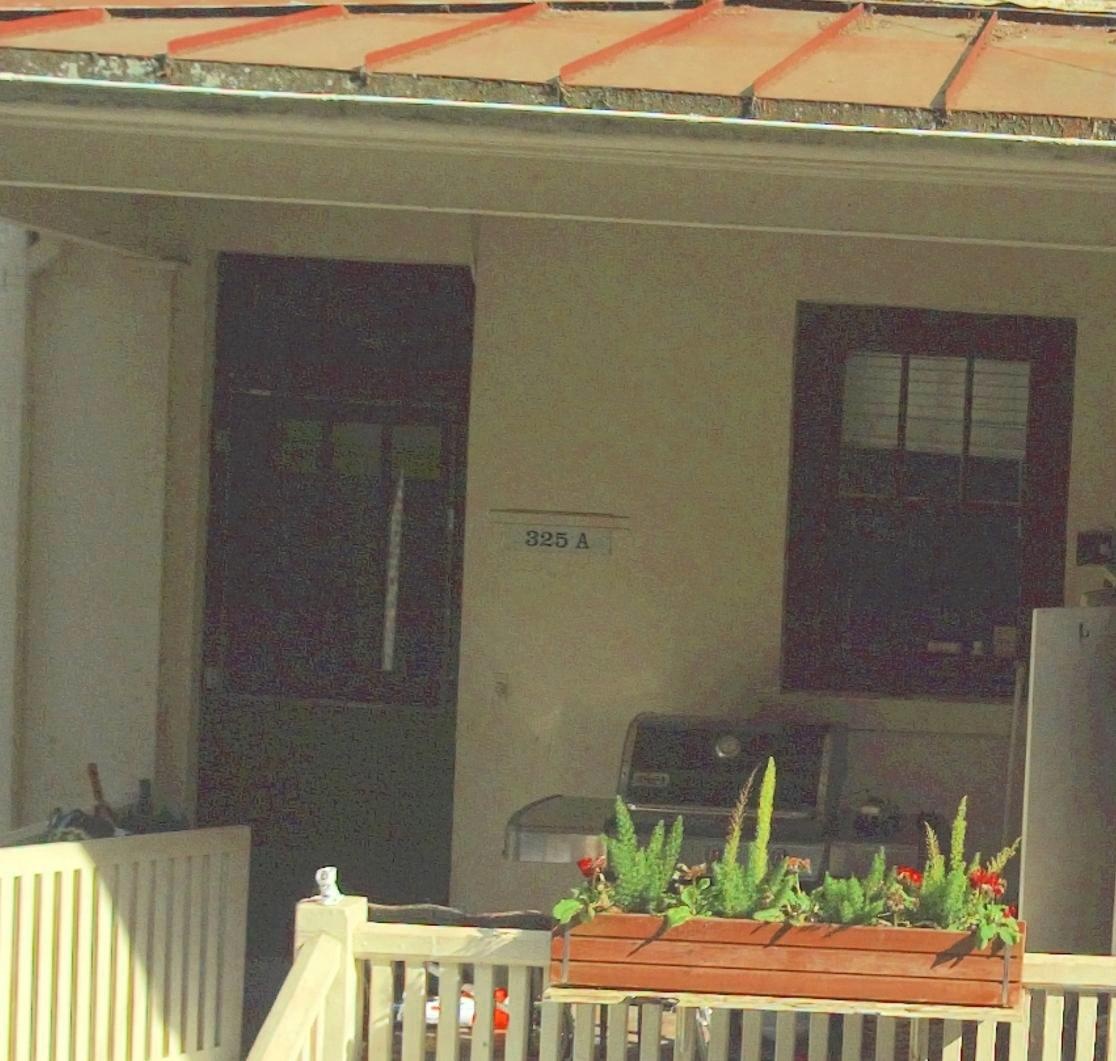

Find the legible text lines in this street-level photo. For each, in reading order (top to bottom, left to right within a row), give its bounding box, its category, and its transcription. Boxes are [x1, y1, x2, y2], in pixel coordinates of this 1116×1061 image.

[524, 529, 592, 551] StreetNumber: 325A